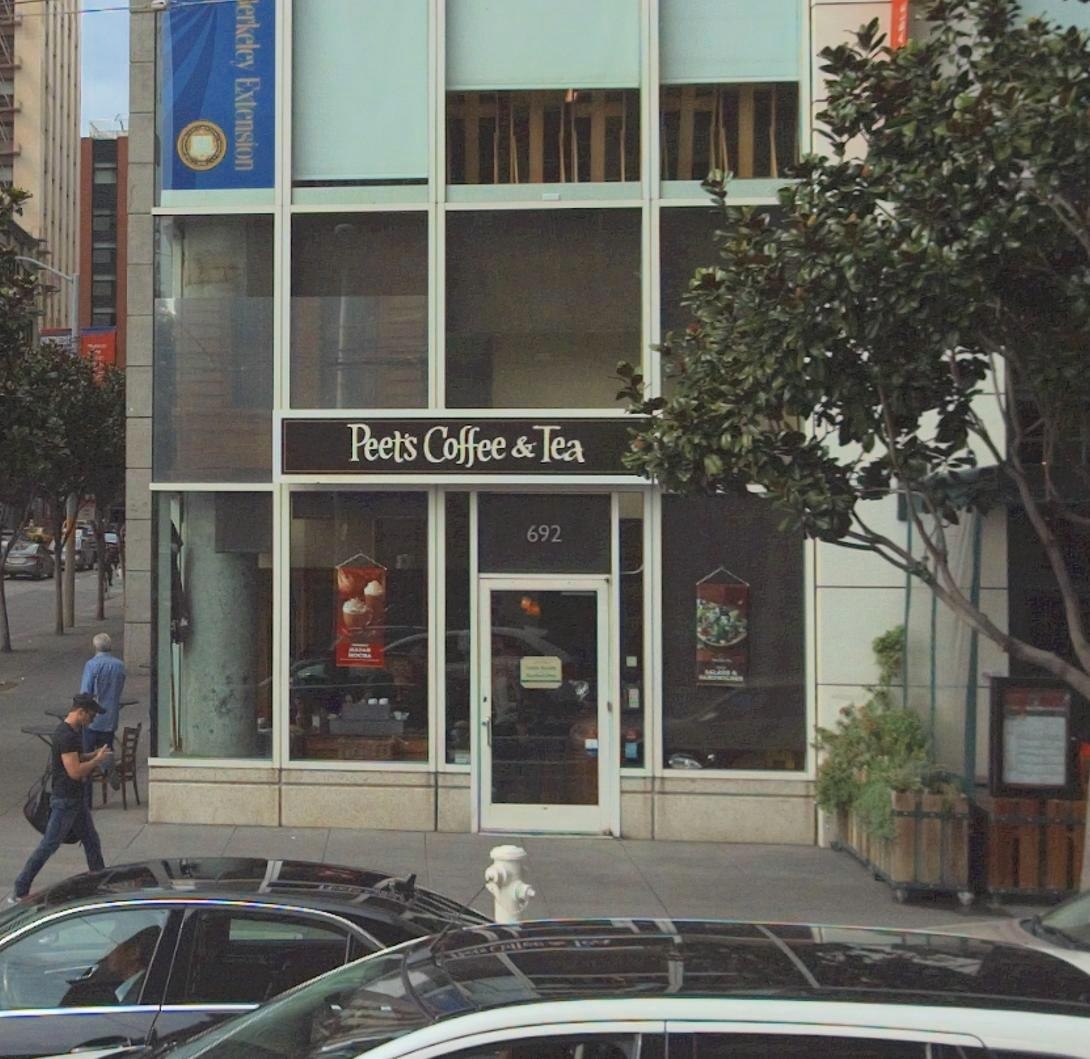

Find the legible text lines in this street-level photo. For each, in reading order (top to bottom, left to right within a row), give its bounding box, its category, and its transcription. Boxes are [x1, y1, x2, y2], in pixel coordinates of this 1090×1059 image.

[224, 2, 266, 175] None: erkeley Extension
[342, 417, 591, 472] BusinessName: Peet's Coffee & Tea
[525, 522, 564, 545] StreetNumber: 692